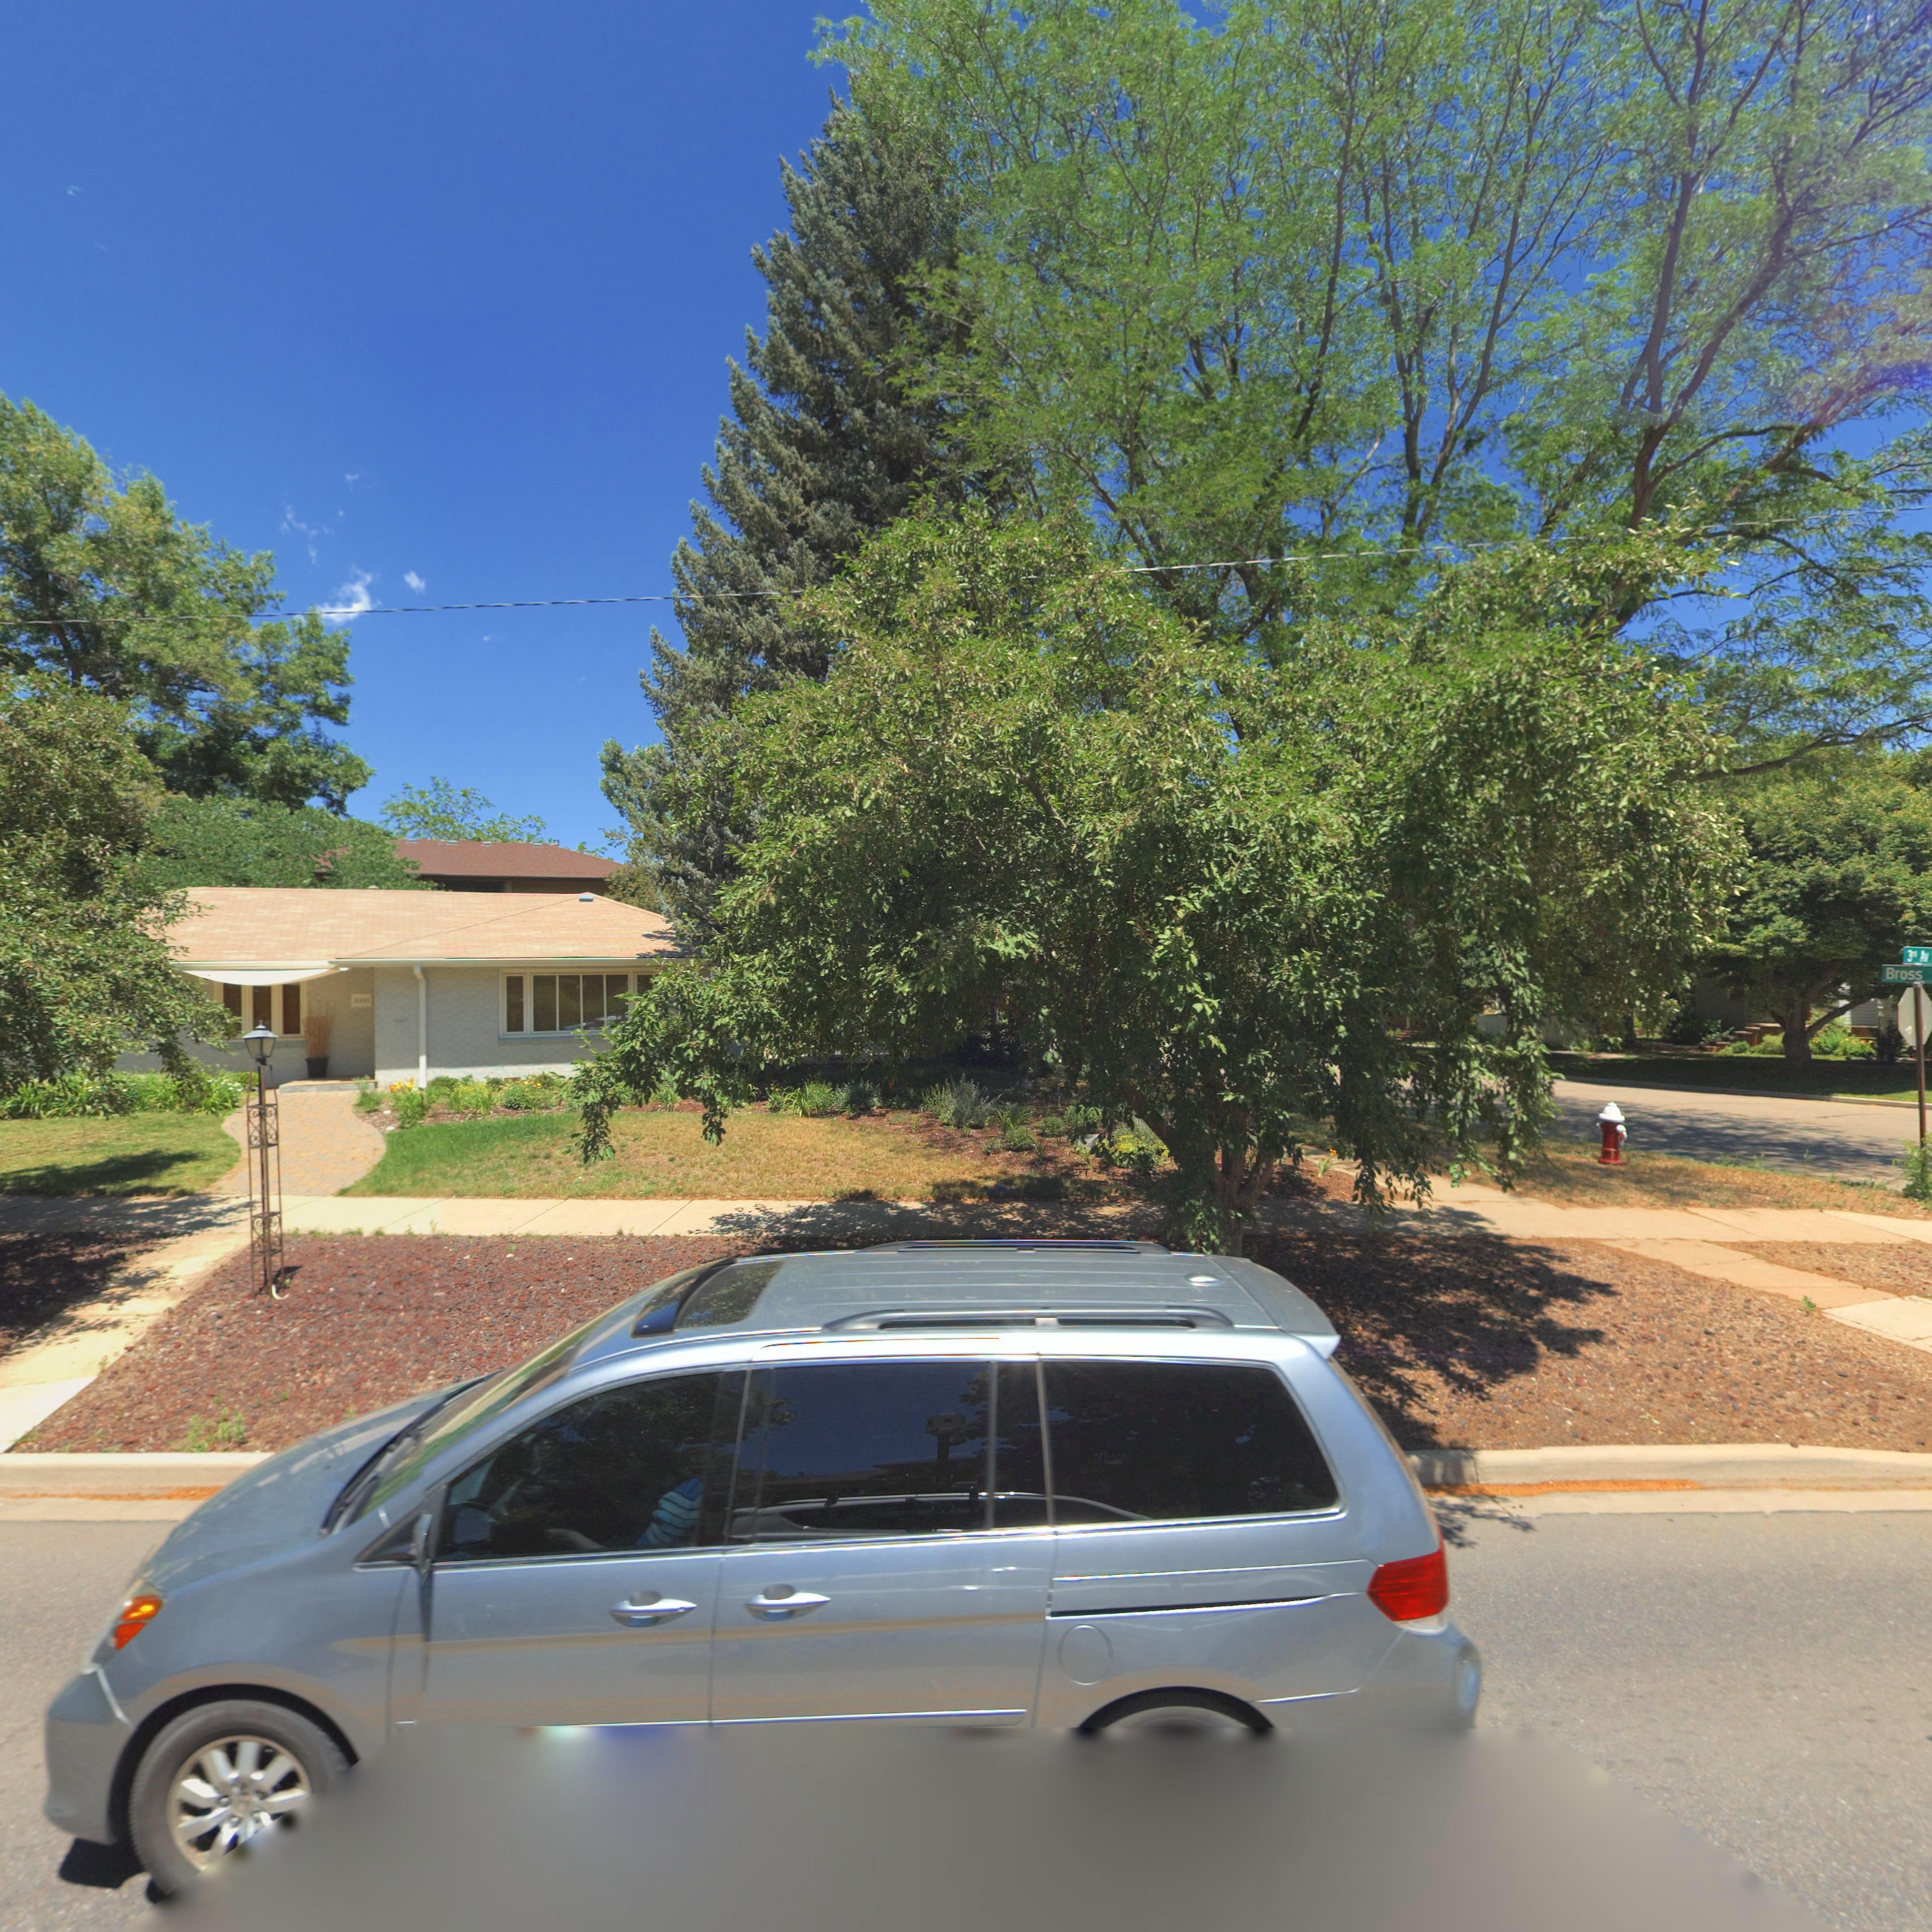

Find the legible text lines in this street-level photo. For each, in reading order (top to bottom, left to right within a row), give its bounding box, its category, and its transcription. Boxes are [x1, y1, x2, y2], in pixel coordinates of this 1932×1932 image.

[1907, 949, 1930, 963] StreetNumber: 3rd Av
[1885, 967, 1923, 980] StreetName: Bross
[353, 997, 370, 1003] StreetNumber: 1000